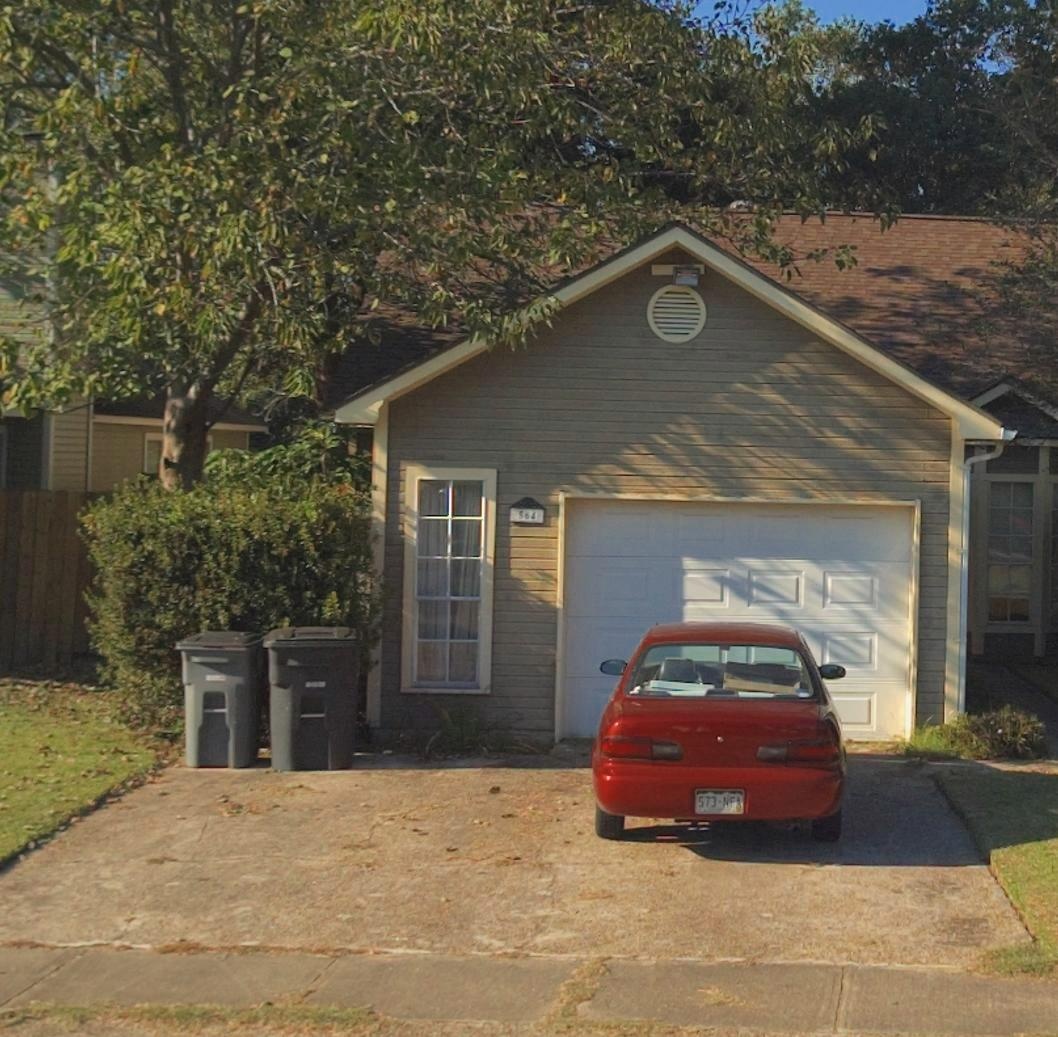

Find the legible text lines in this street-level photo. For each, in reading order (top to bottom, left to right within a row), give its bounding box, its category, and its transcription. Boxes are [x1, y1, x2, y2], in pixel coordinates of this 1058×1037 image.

[518, 509, 538, 522] StreetNumber: 564
[697, 795, 741, 808] None: 573-MFA